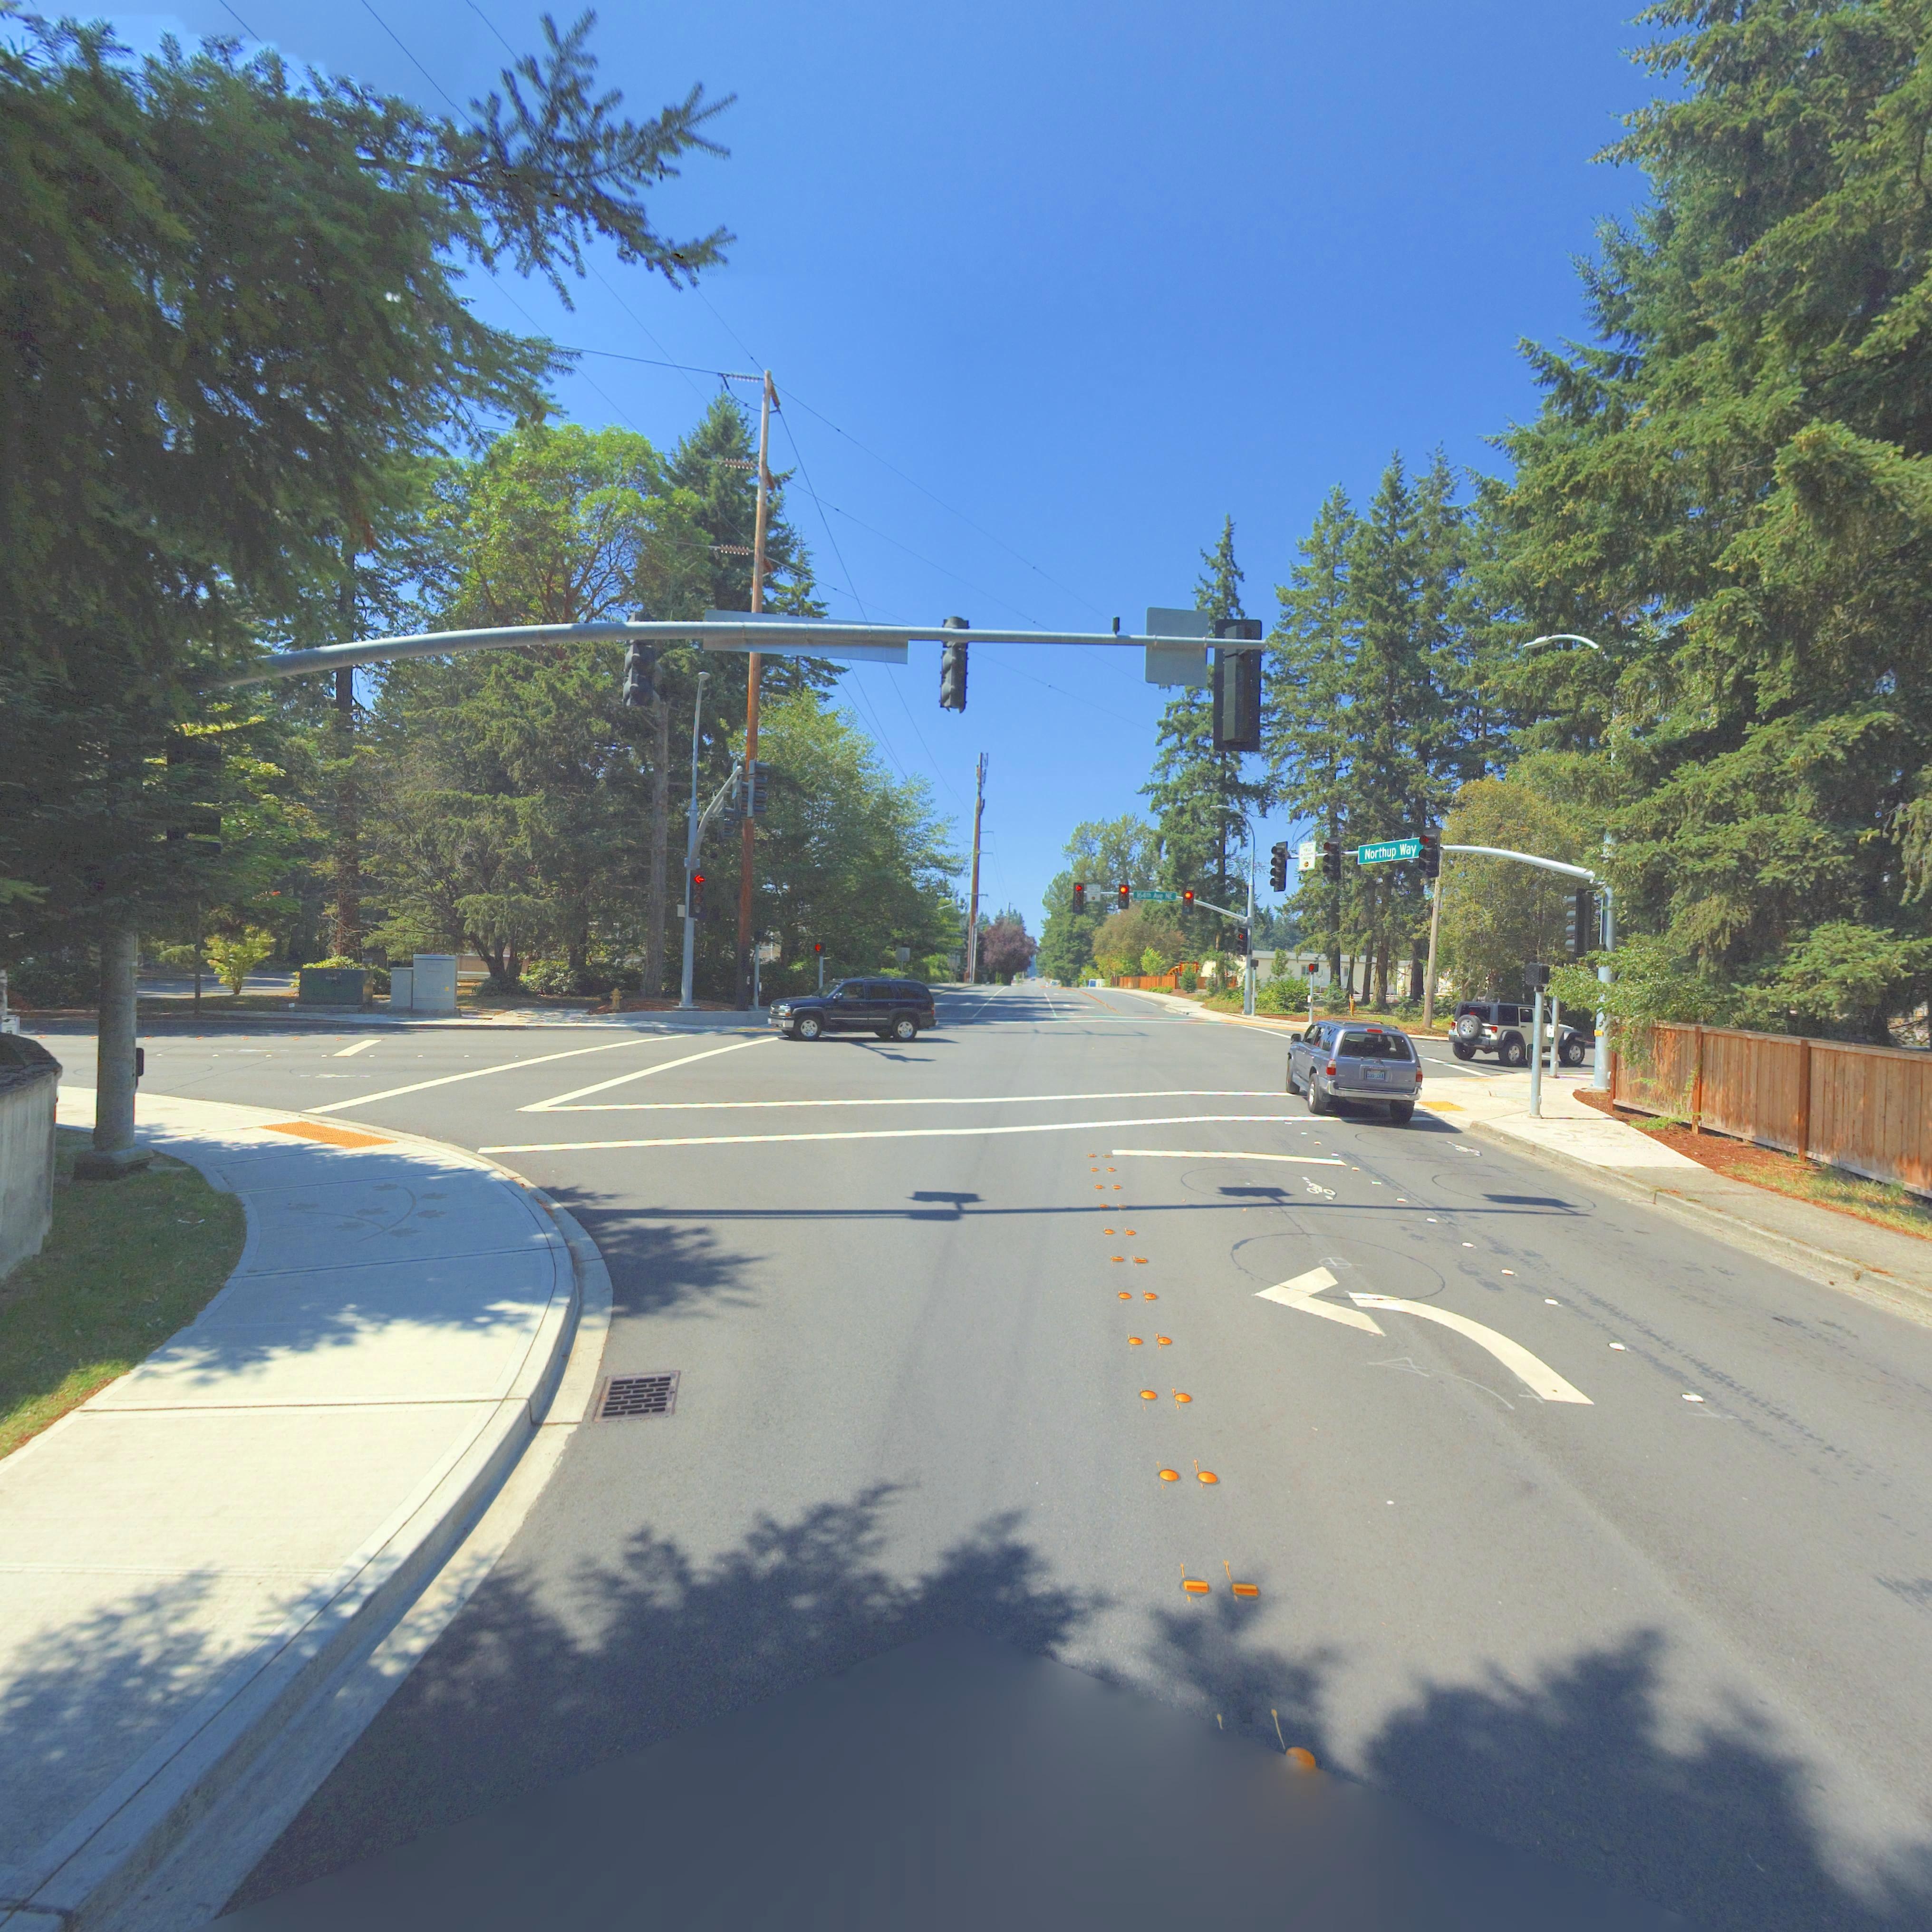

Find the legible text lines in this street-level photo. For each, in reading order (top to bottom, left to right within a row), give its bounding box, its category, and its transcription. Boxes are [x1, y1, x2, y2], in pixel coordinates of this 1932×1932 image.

[1363, 843, 1417, 860] StreetName: Northup Way
[1136, 891, 1173, 899] StreetName: 164th Ave NE